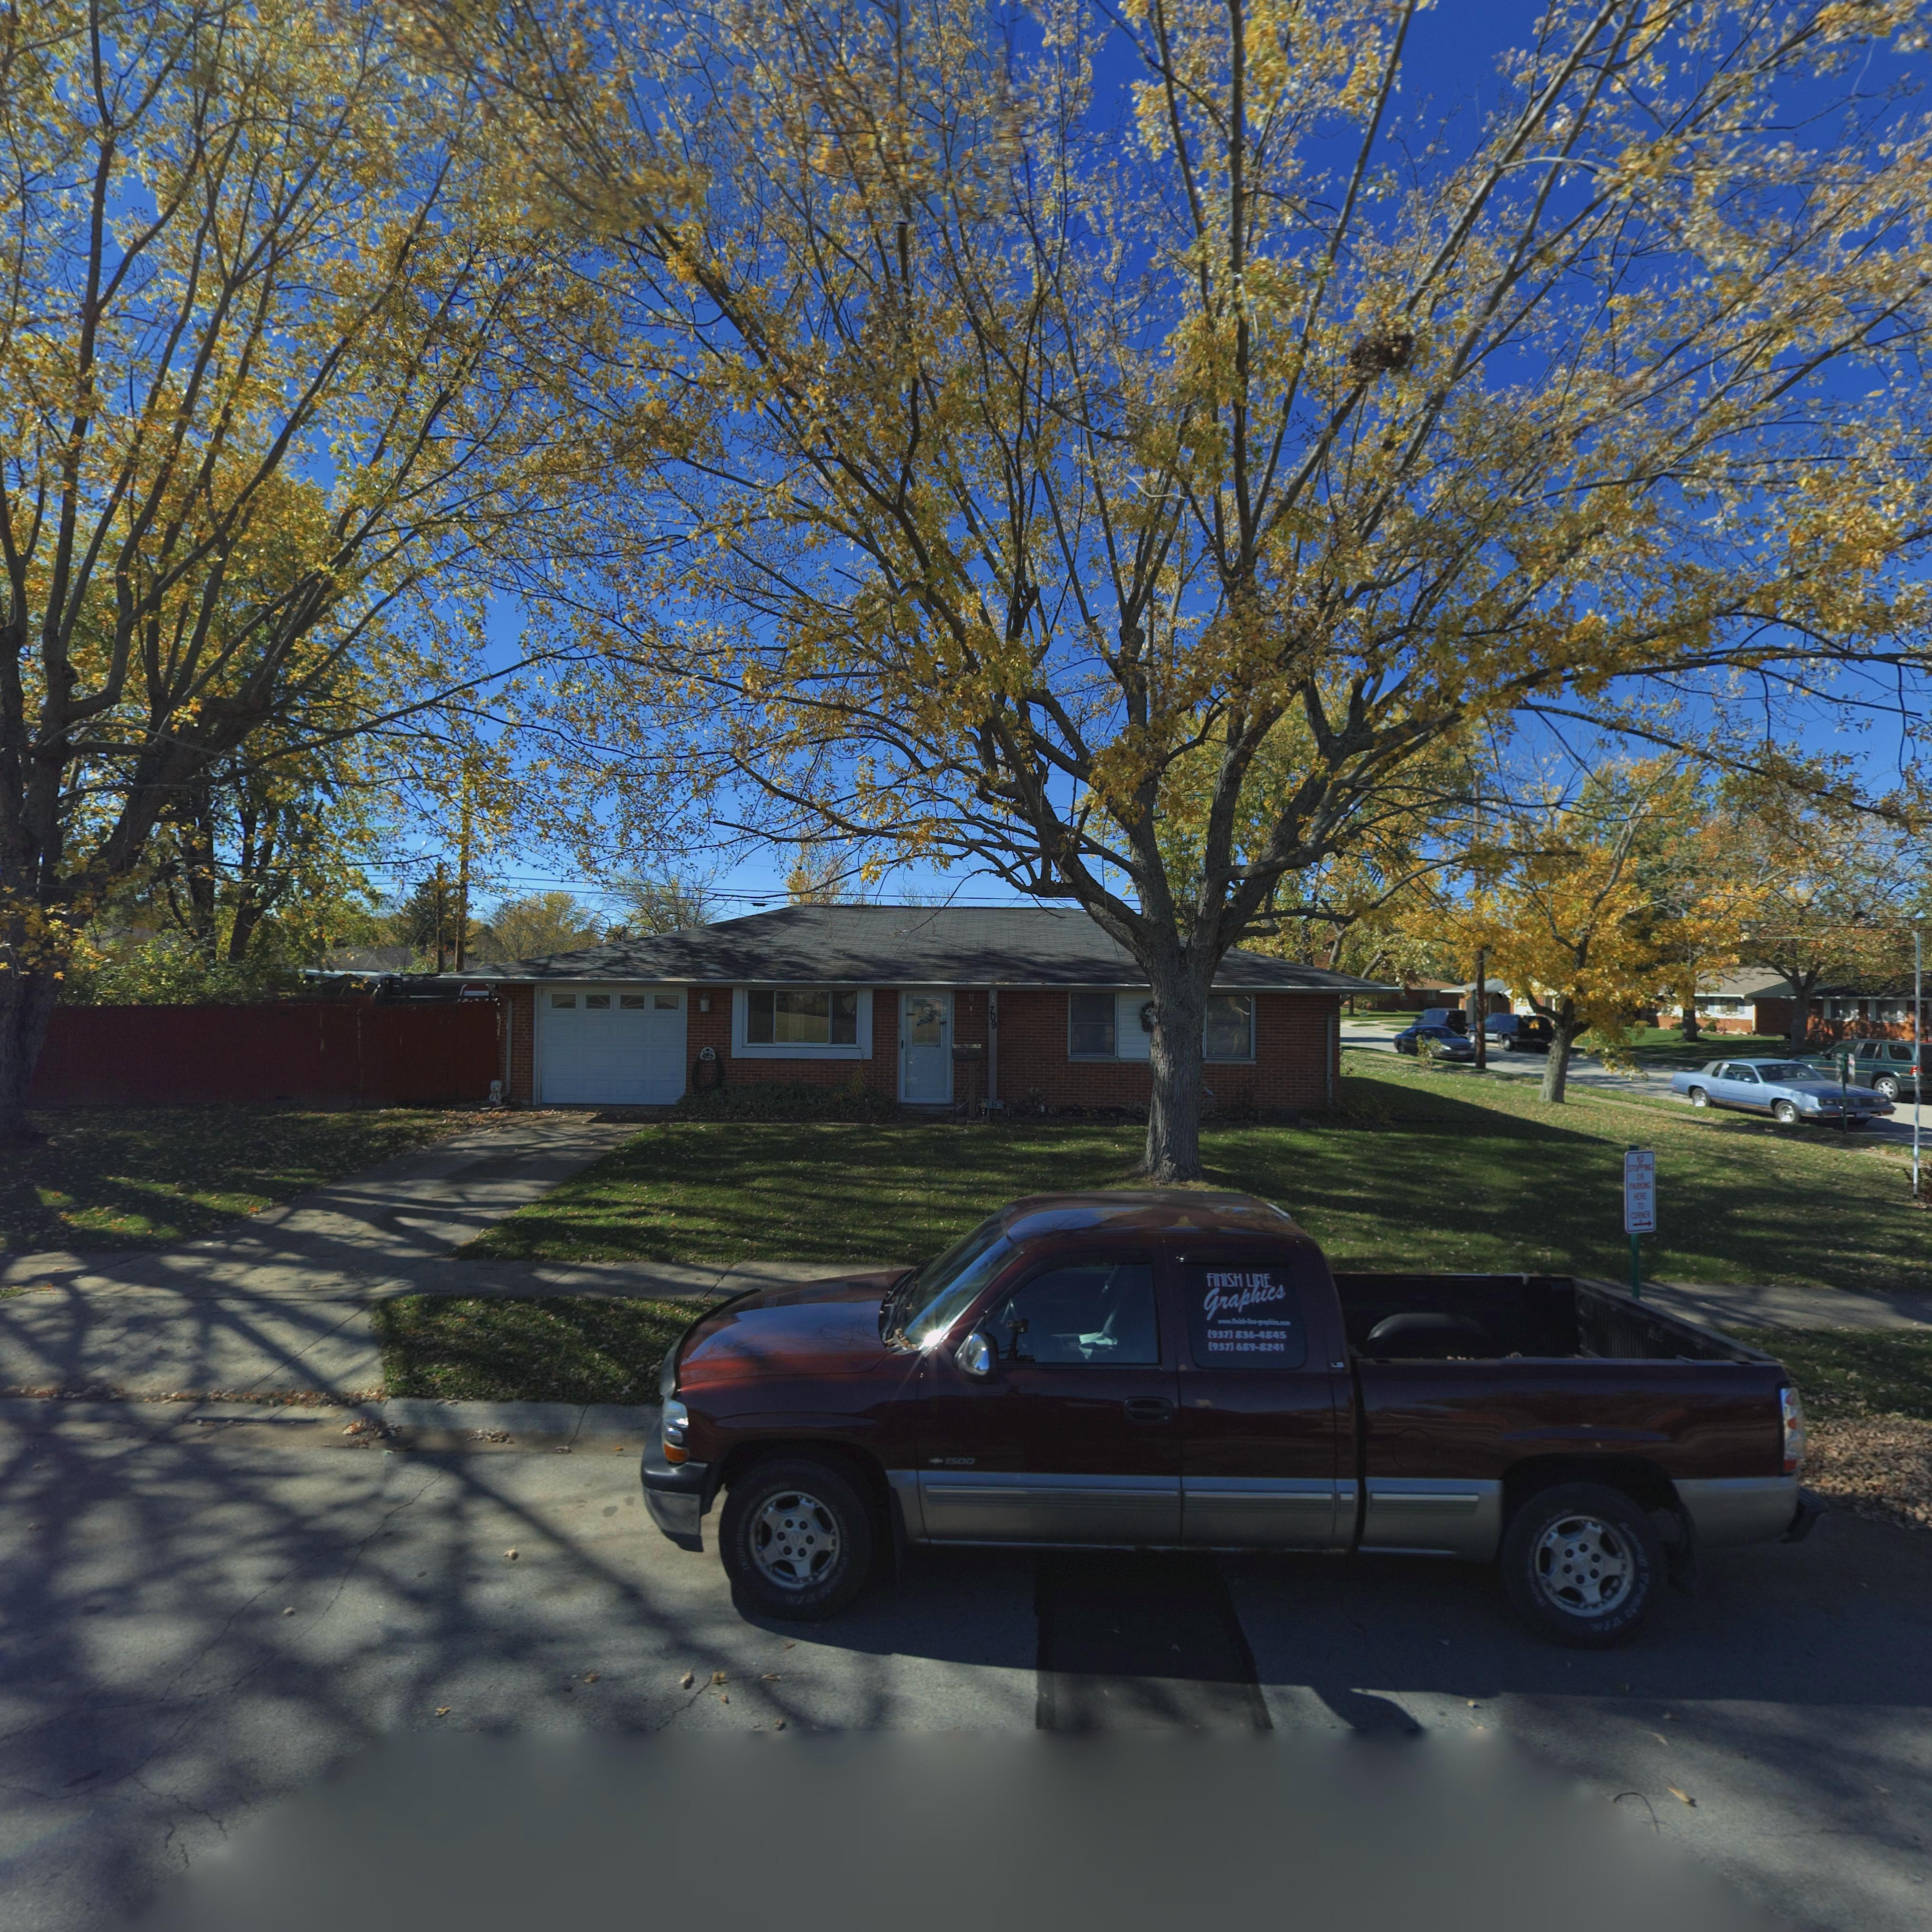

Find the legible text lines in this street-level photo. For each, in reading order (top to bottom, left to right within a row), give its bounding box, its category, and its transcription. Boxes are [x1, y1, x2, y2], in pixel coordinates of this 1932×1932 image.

[988, 1005, 998, 1030] StreetNumber: 709
[1635, 1154, 1645, 1163] None: NO
[1626, 1163, 1654, 1173] None: STOPPING
[1635, 1172, 1644, 1181] None: OR
[1628, 1181, 1652, 1191] None: PARKING
[1633, 1191, 1647, 1201] None: HERE
[1636, 1202, 1645, 1210] None: TO
[1630, 1210, 1651, 1220] None: CORNER
[1206, 1272, 1273, 1288] None: fINISH LINE
[1203, 1283, 1287, 1322] None: Graphics
[1207, 1329, 1288, 1340] None: (937) 836-4845
[1207, 1341, 1285, 1352] None: (937) 689-8241
[1330, 1361, 1345, 1368] None: LS
[944, 1457, 977, 1466] None: 1500